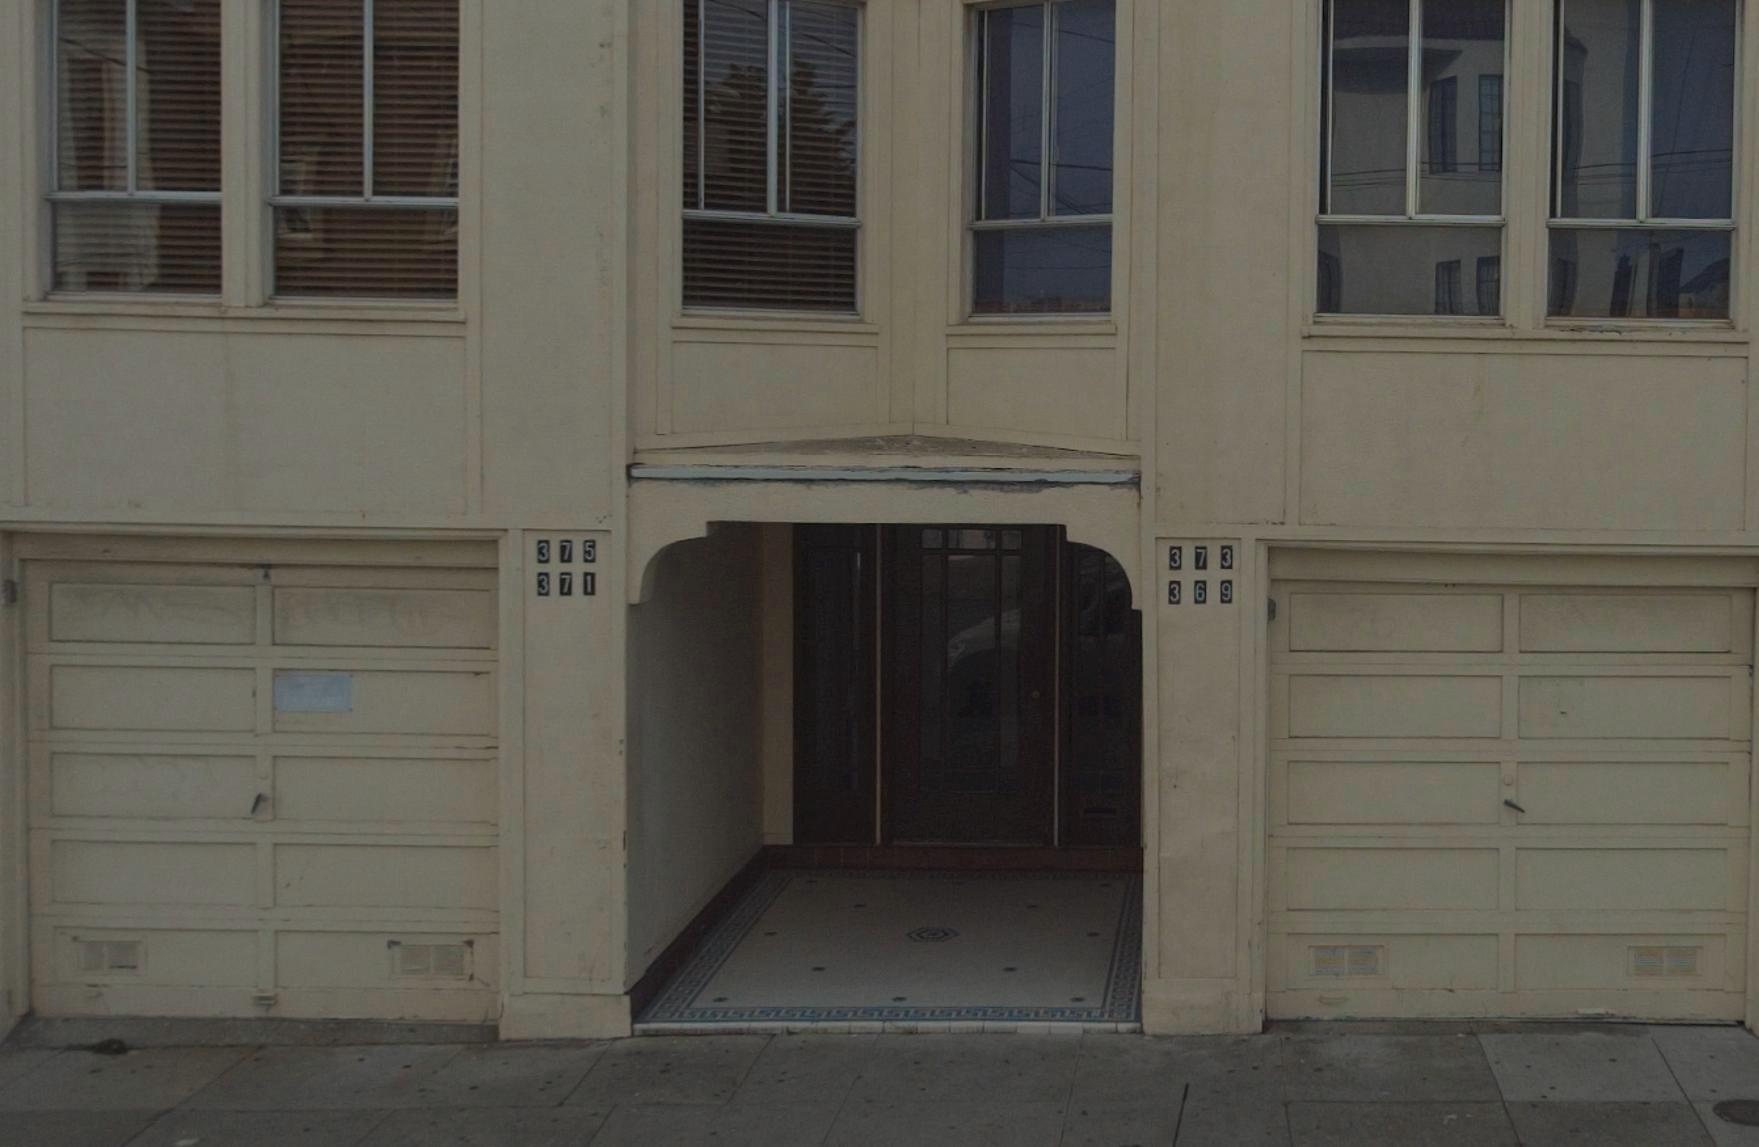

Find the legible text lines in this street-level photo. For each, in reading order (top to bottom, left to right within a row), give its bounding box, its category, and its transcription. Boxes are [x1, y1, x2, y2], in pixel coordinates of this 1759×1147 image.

[538, 541, 595, 562] StreetNumber: 375
[1170, 547, 1232, 568] StreetNumber: 373
[538, 574, 593, 594] StreetNumber: 371
[1169, 582, 1232, 602] StreetNumber: 369